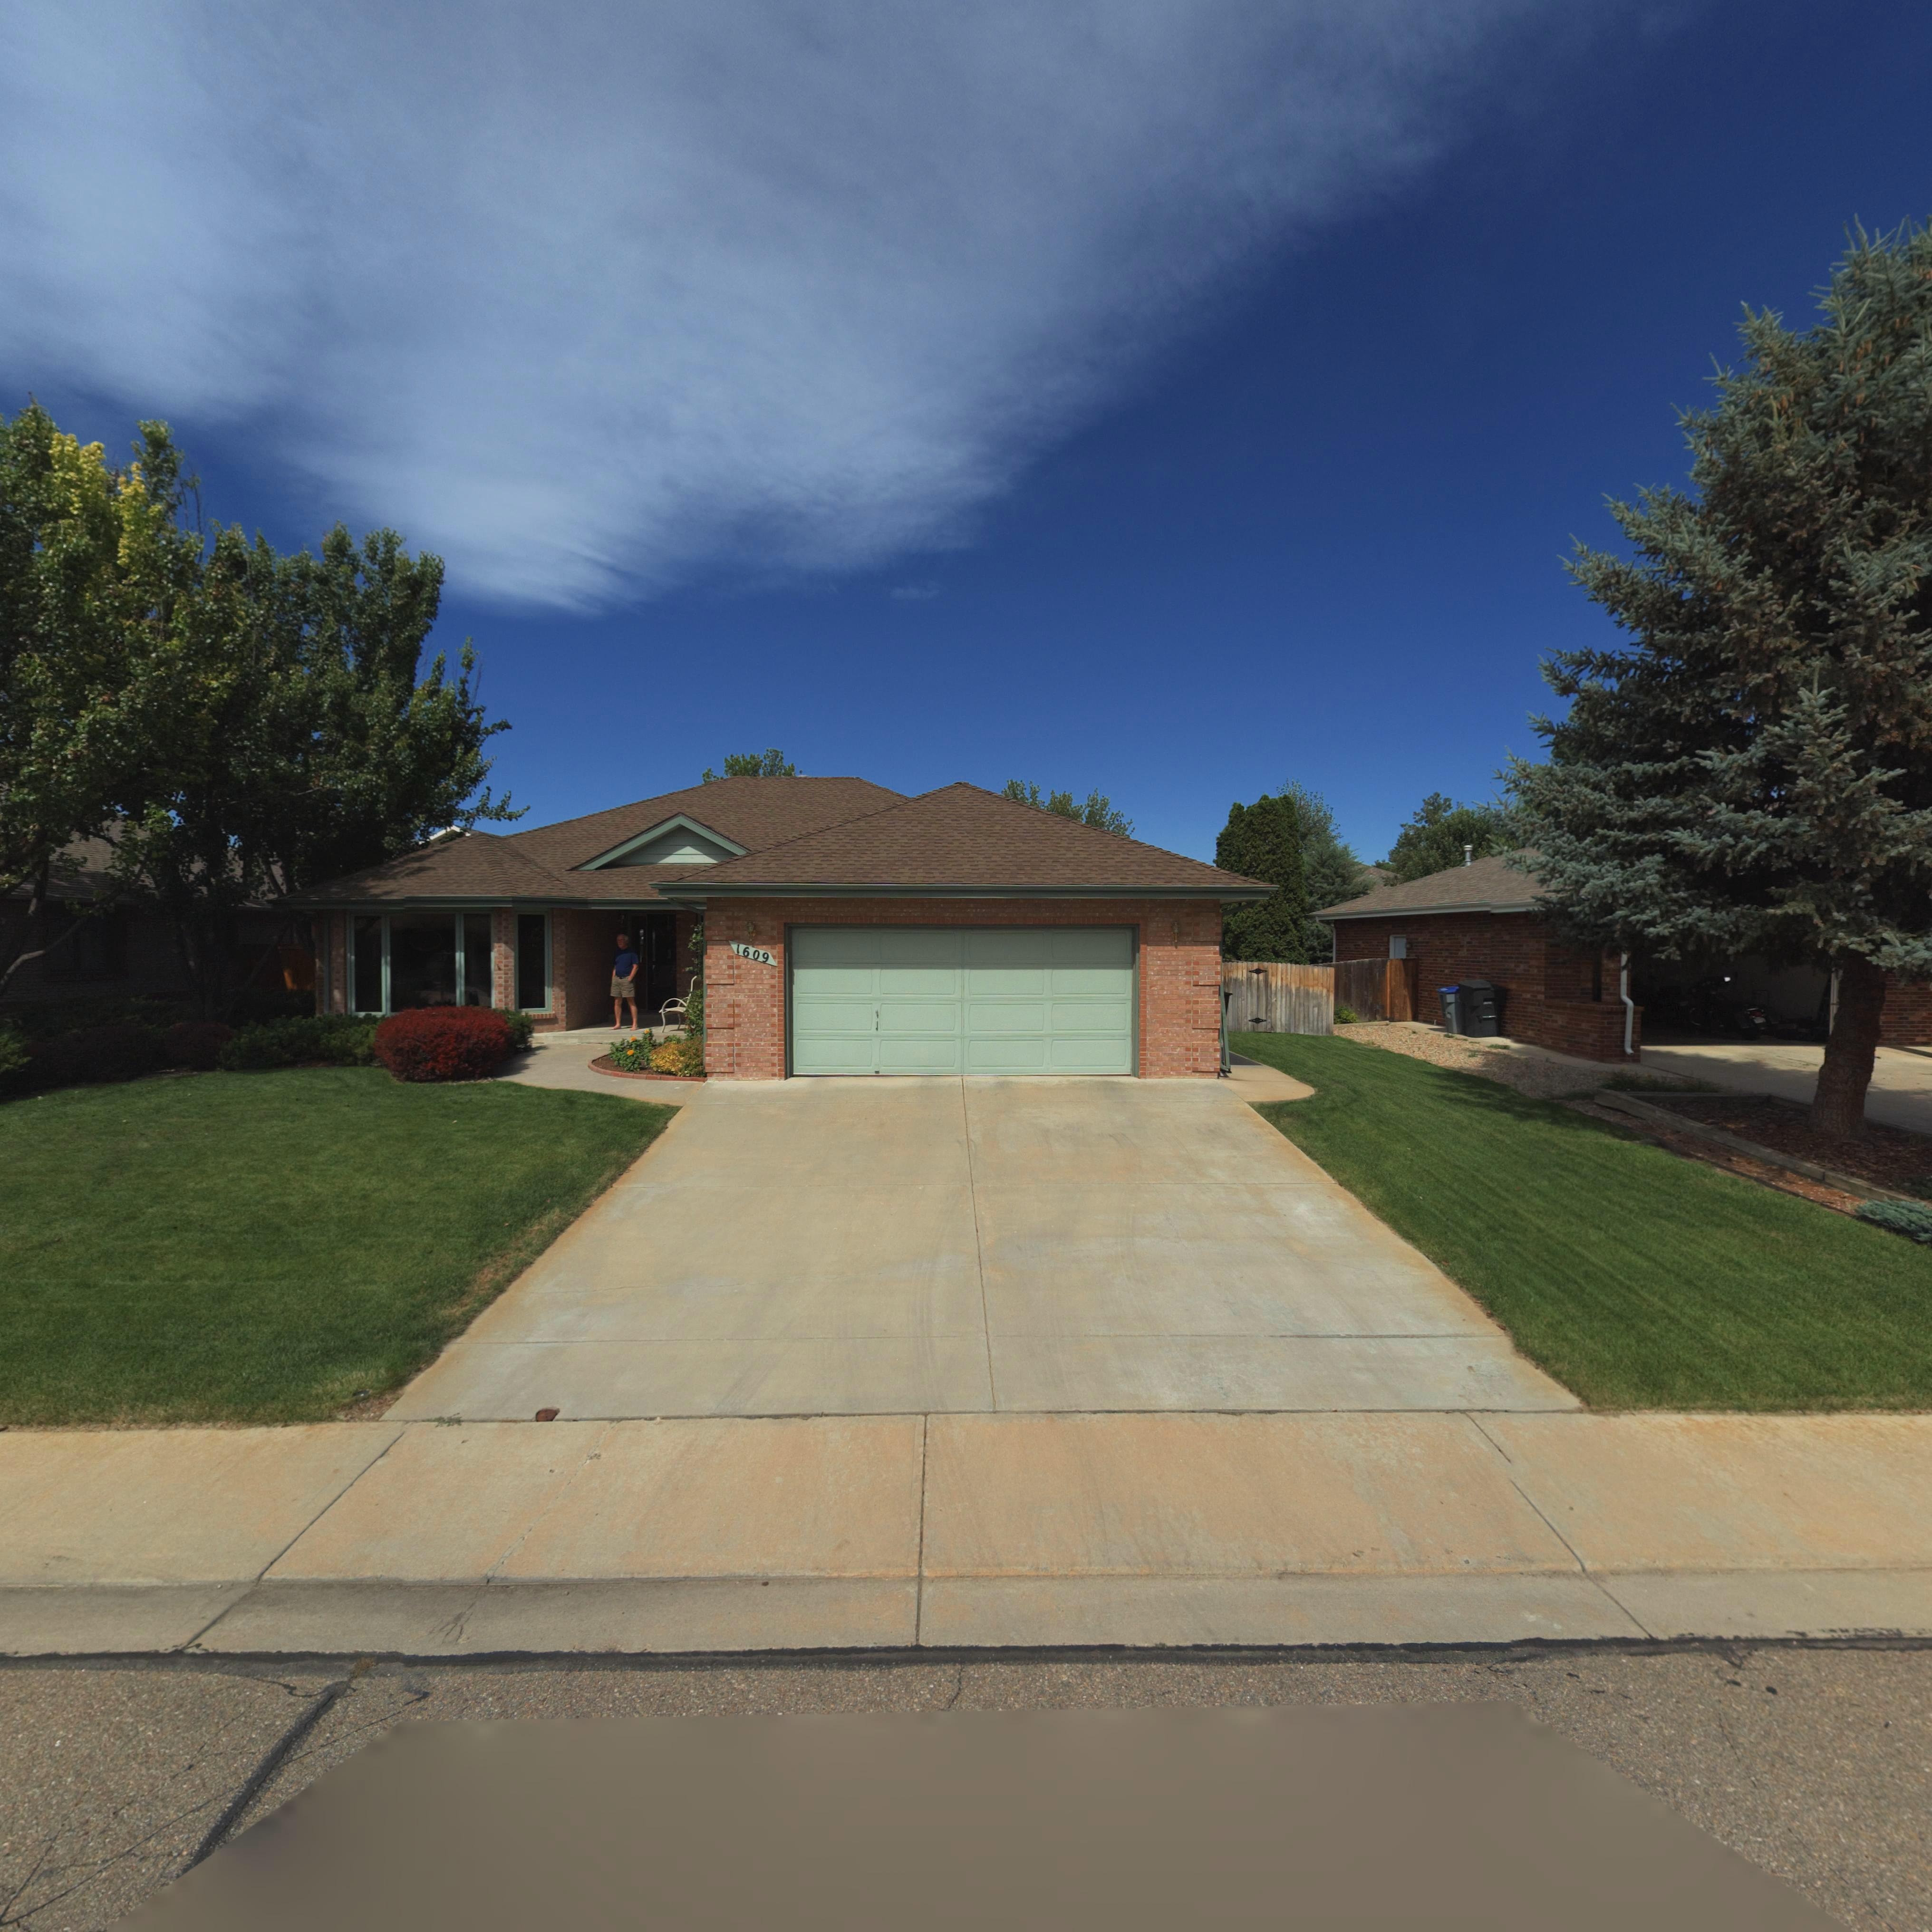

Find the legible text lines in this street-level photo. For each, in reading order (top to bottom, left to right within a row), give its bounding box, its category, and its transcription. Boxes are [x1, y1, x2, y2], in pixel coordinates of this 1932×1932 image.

[736, 943, 769, 963] StreetNumber: 1609